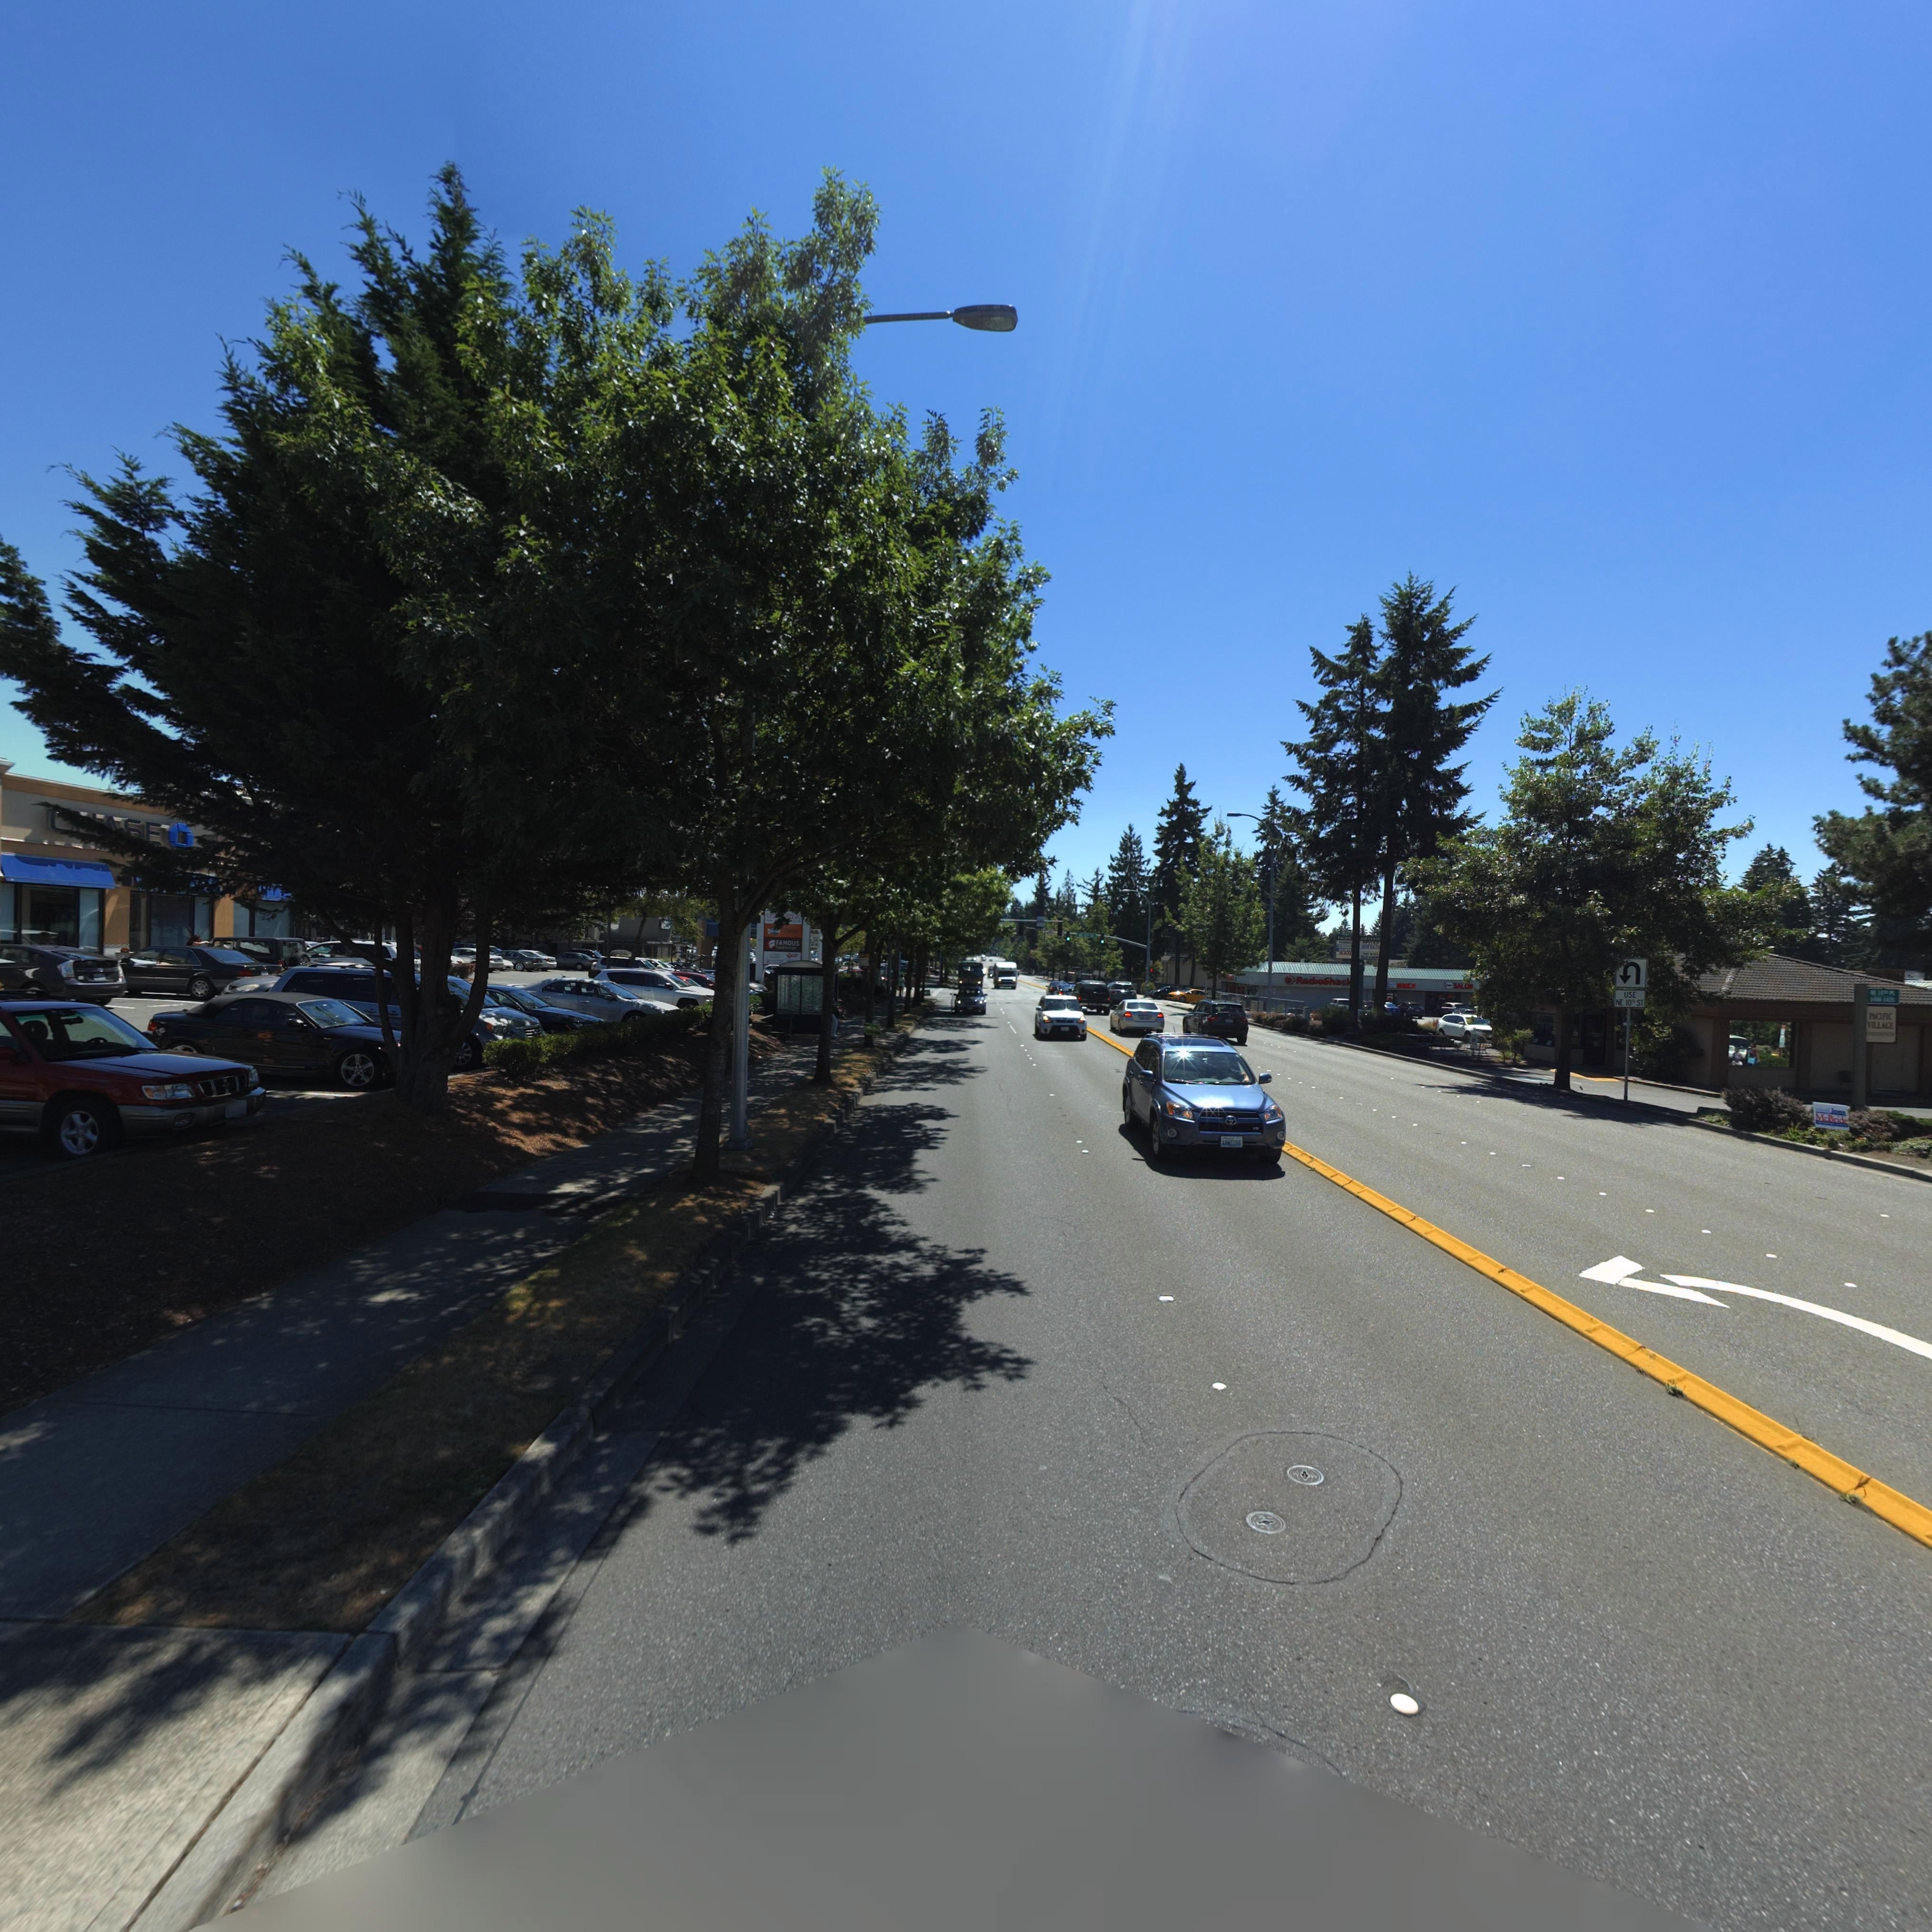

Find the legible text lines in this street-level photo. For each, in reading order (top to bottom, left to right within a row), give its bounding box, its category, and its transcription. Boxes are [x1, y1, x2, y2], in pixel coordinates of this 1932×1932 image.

[775, 938, 800, 947] BusinessName: FAMOUS
[1362, 941, 1380, 944] BusinessName: SPICED
[1296, 976, 1346, 986] BusinessName: RadioShac
[1615, 998, 1644, 1006] StreetName: NE 10th ST